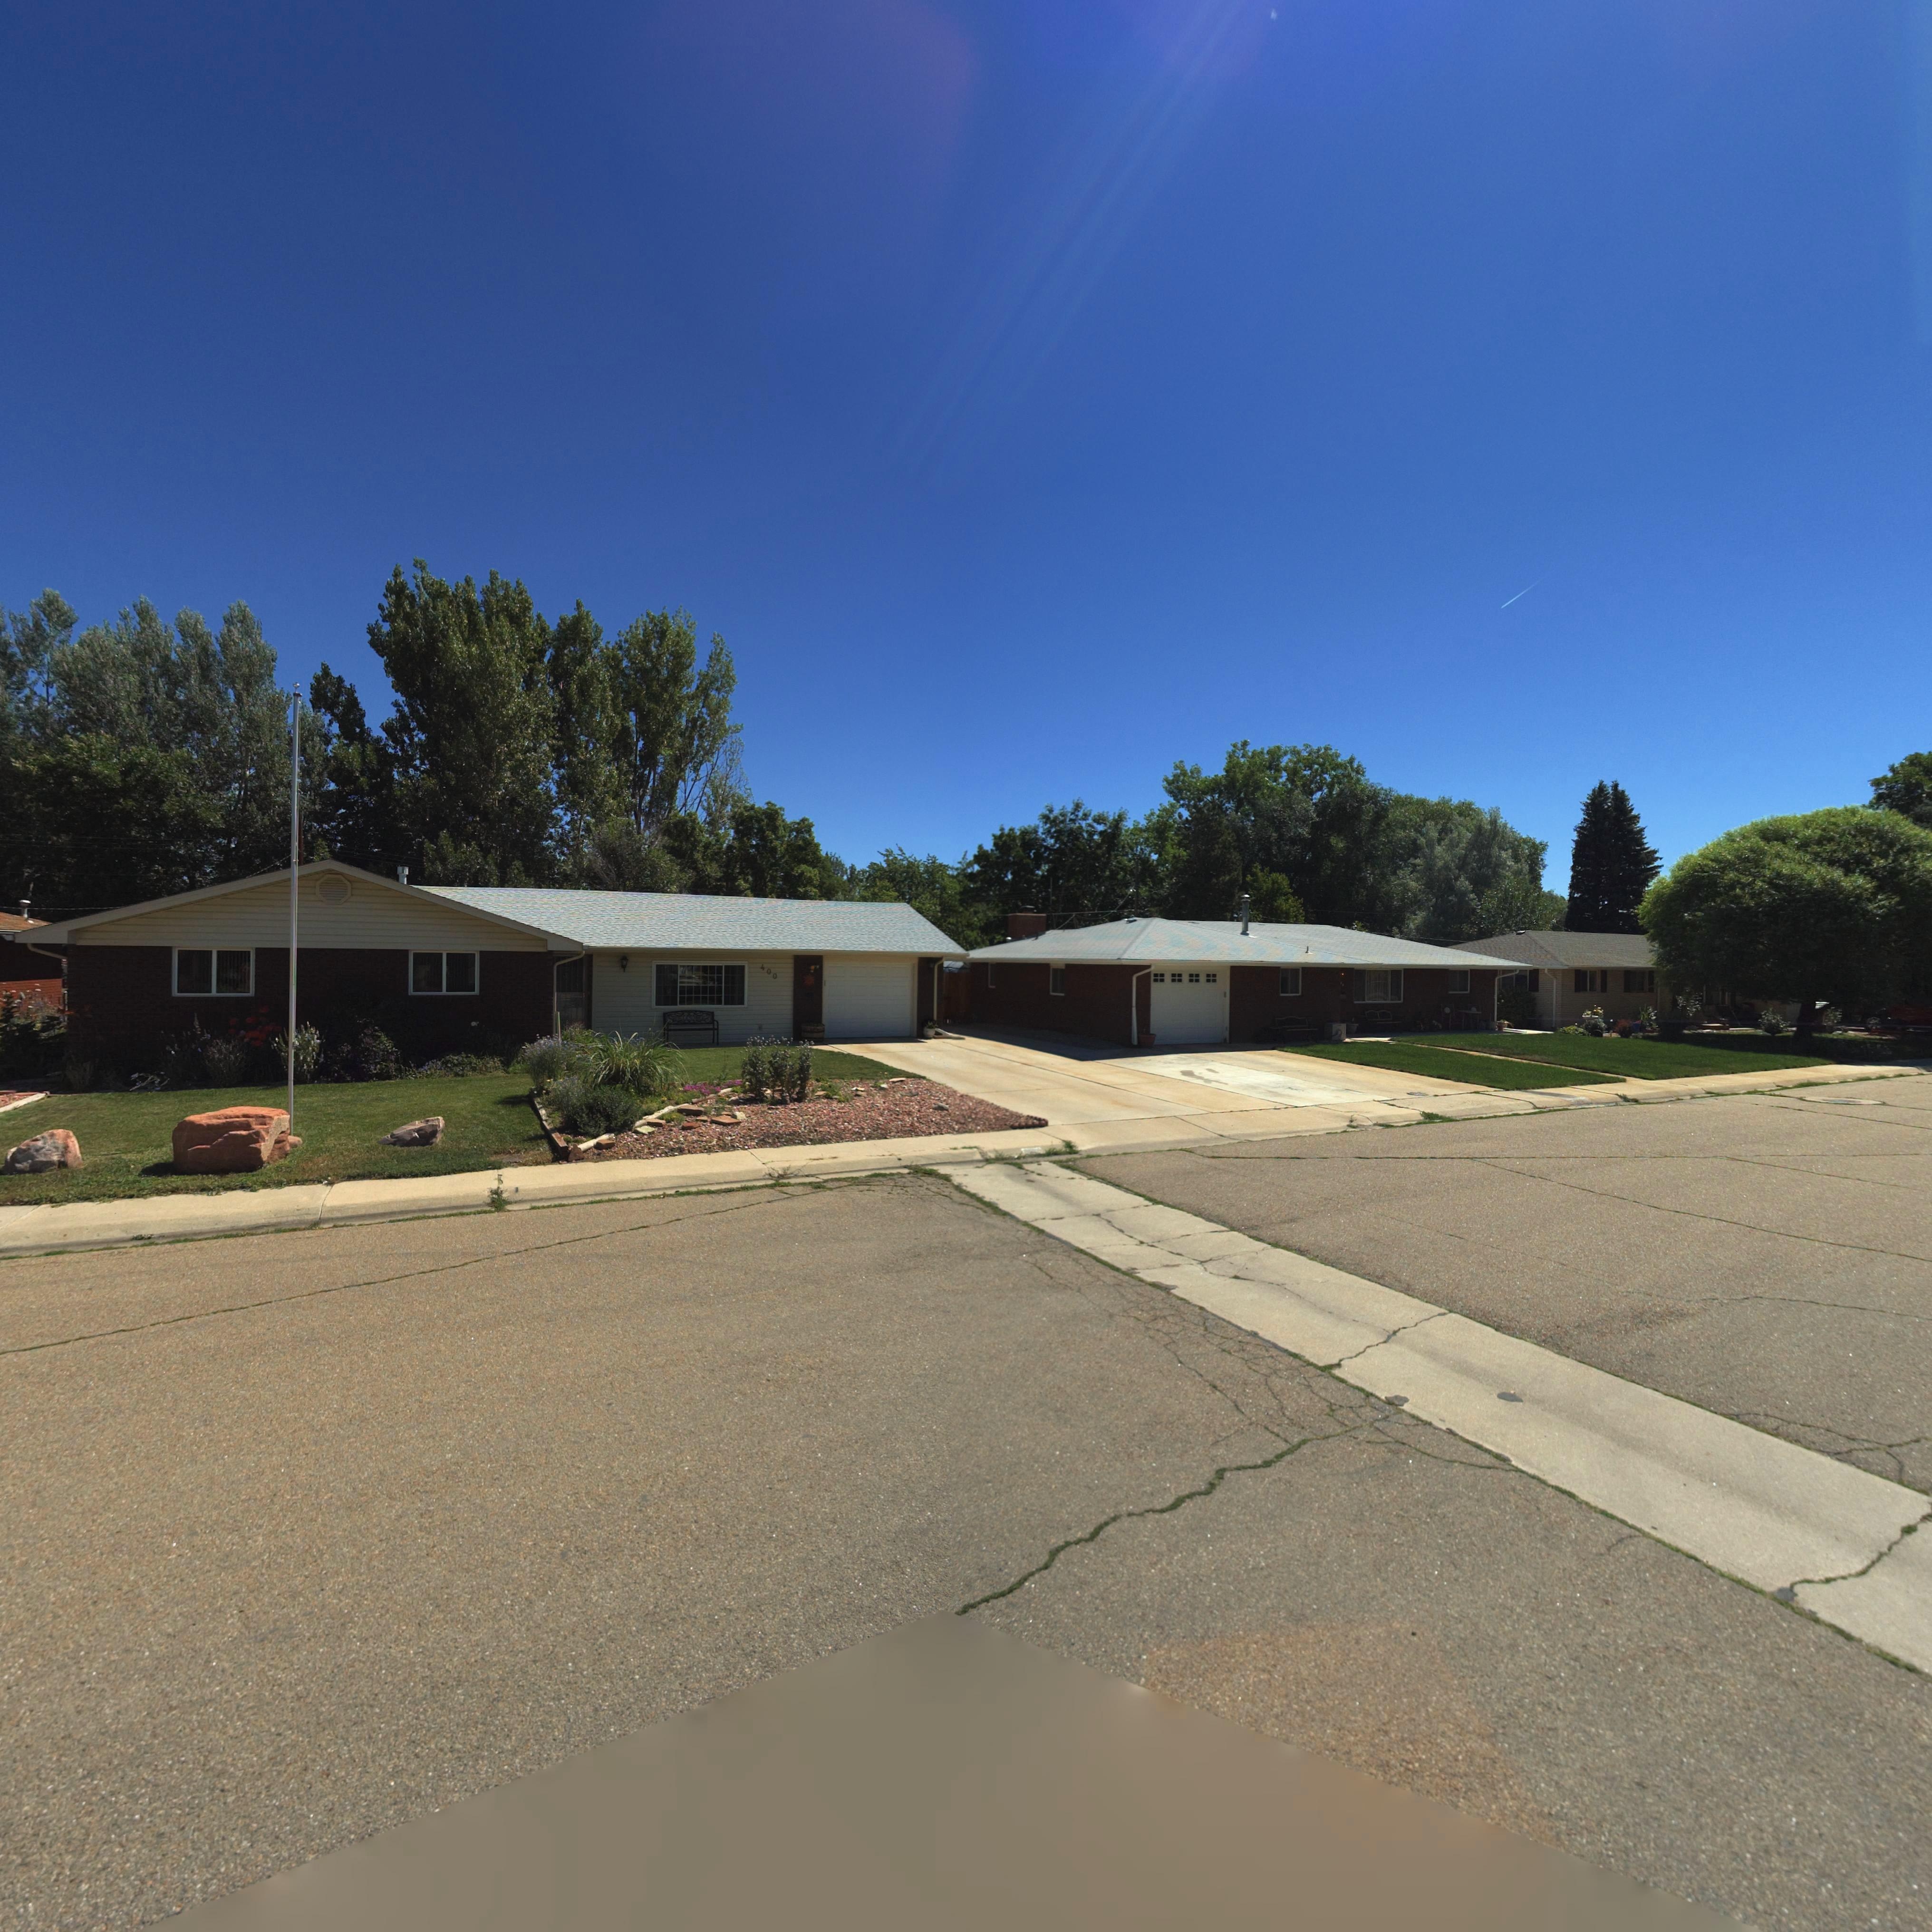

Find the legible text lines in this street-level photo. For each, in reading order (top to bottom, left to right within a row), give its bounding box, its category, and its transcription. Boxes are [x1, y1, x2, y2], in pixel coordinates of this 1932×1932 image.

[759, 963, 777, 980] StreetNumber: 400